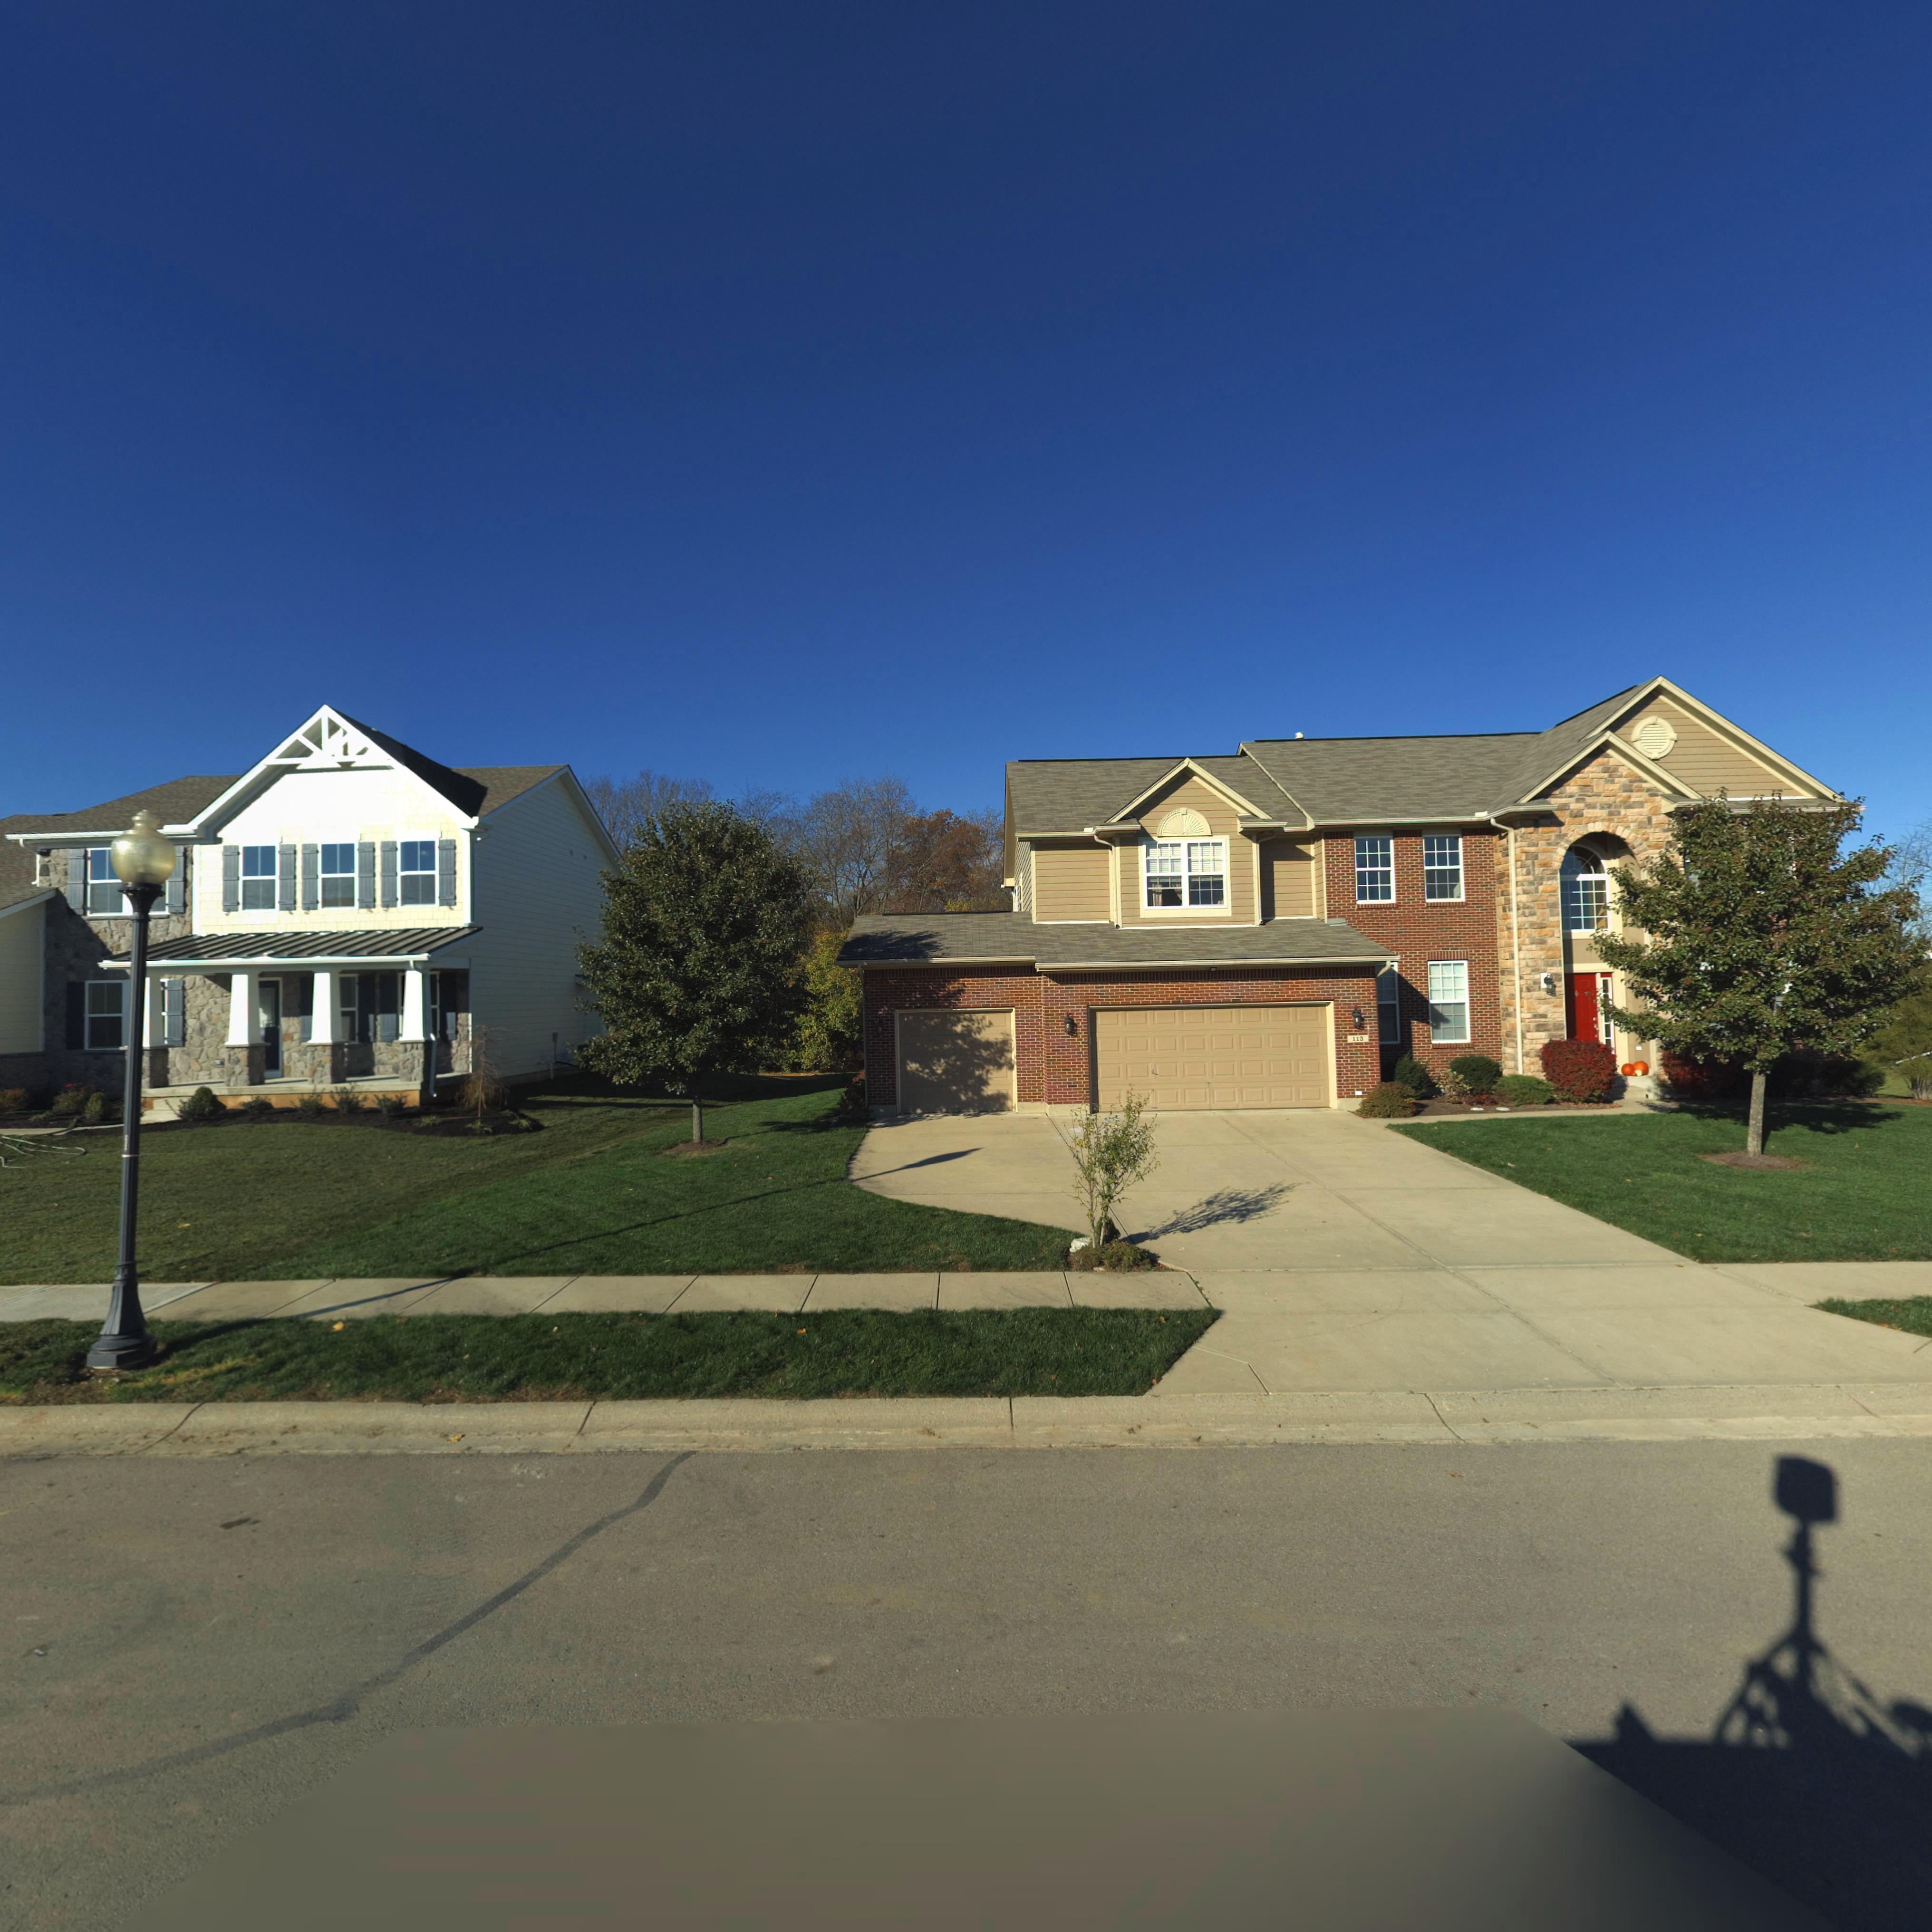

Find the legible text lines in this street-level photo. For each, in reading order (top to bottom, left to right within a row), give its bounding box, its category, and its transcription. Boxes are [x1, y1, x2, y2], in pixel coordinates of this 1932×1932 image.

[1351, 1036, 1364, 1042] StreetNumber: 113